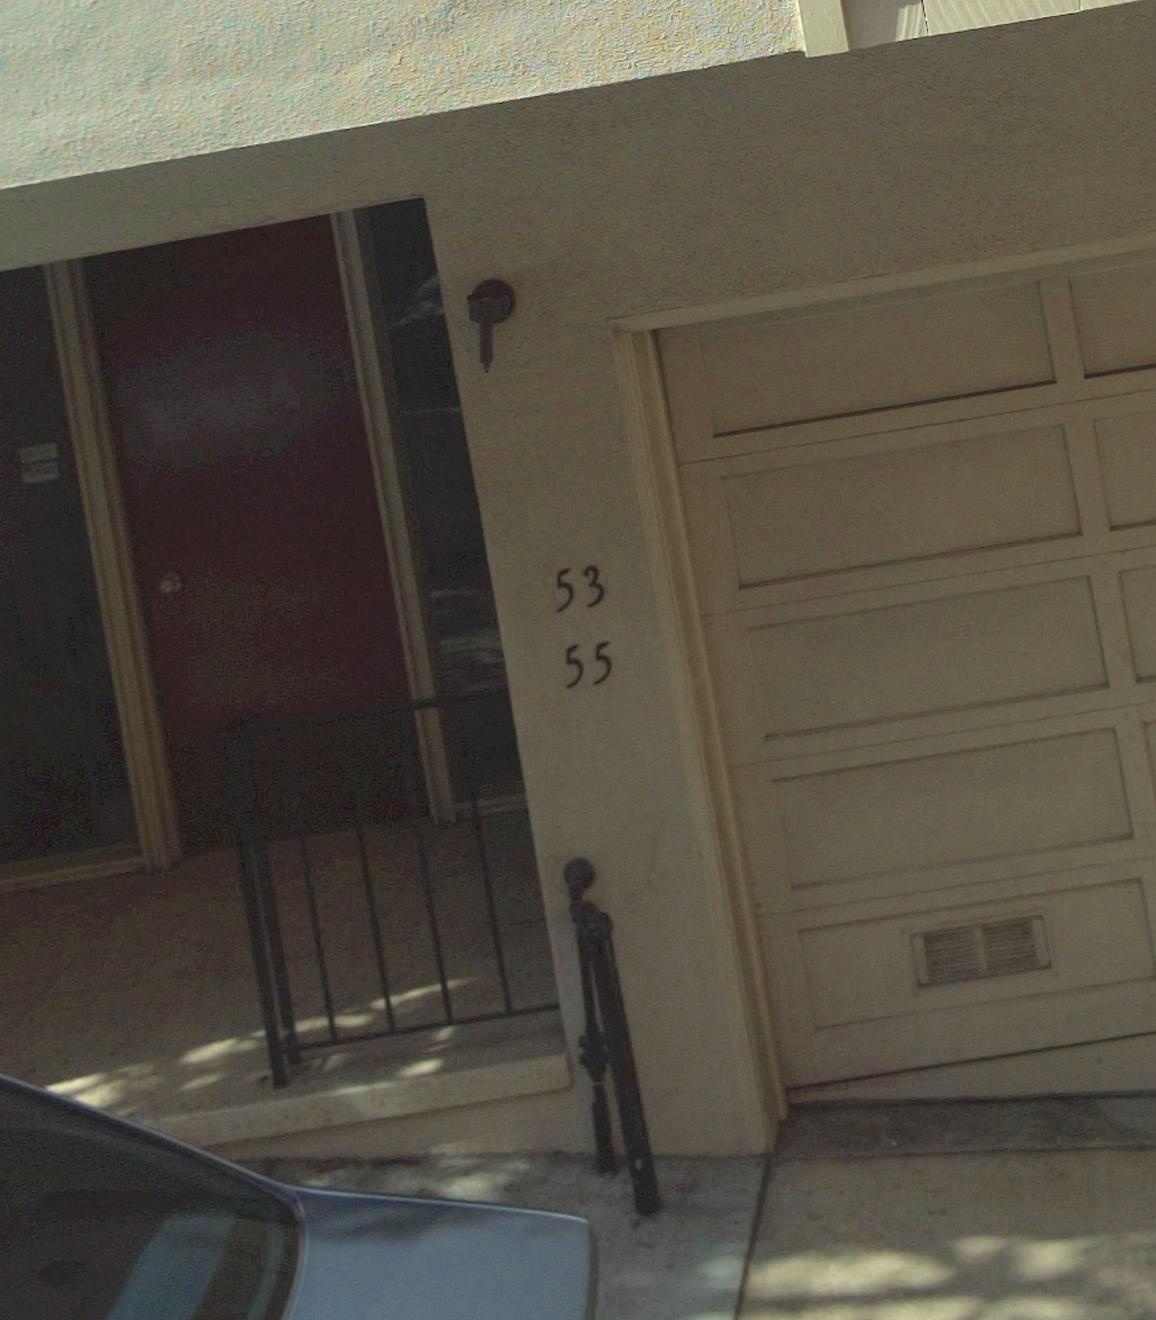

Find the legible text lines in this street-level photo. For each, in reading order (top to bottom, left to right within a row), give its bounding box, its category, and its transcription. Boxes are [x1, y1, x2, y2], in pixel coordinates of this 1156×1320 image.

[549, 557, 608, 621] StreetNumber: 53
[562, 635, 615, 696] StreetNumber: 55